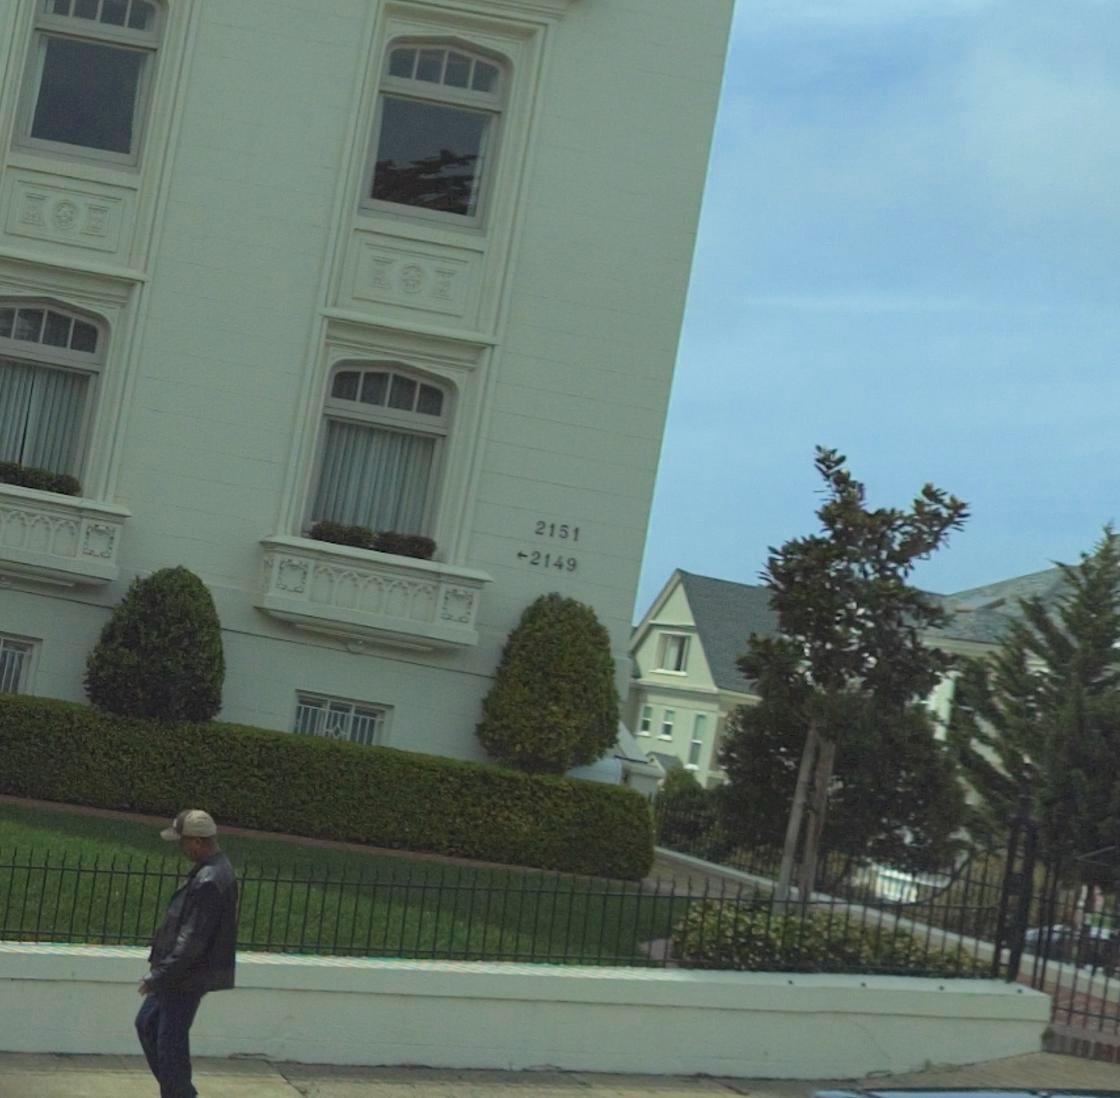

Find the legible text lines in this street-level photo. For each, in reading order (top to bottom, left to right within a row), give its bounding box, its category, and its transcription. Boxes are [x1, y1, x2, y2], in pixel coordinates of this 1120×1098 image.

[531, 517, 584, 546] StreetNumber: 2151
[526, 546, 579, 575] StreetNumber: 2149